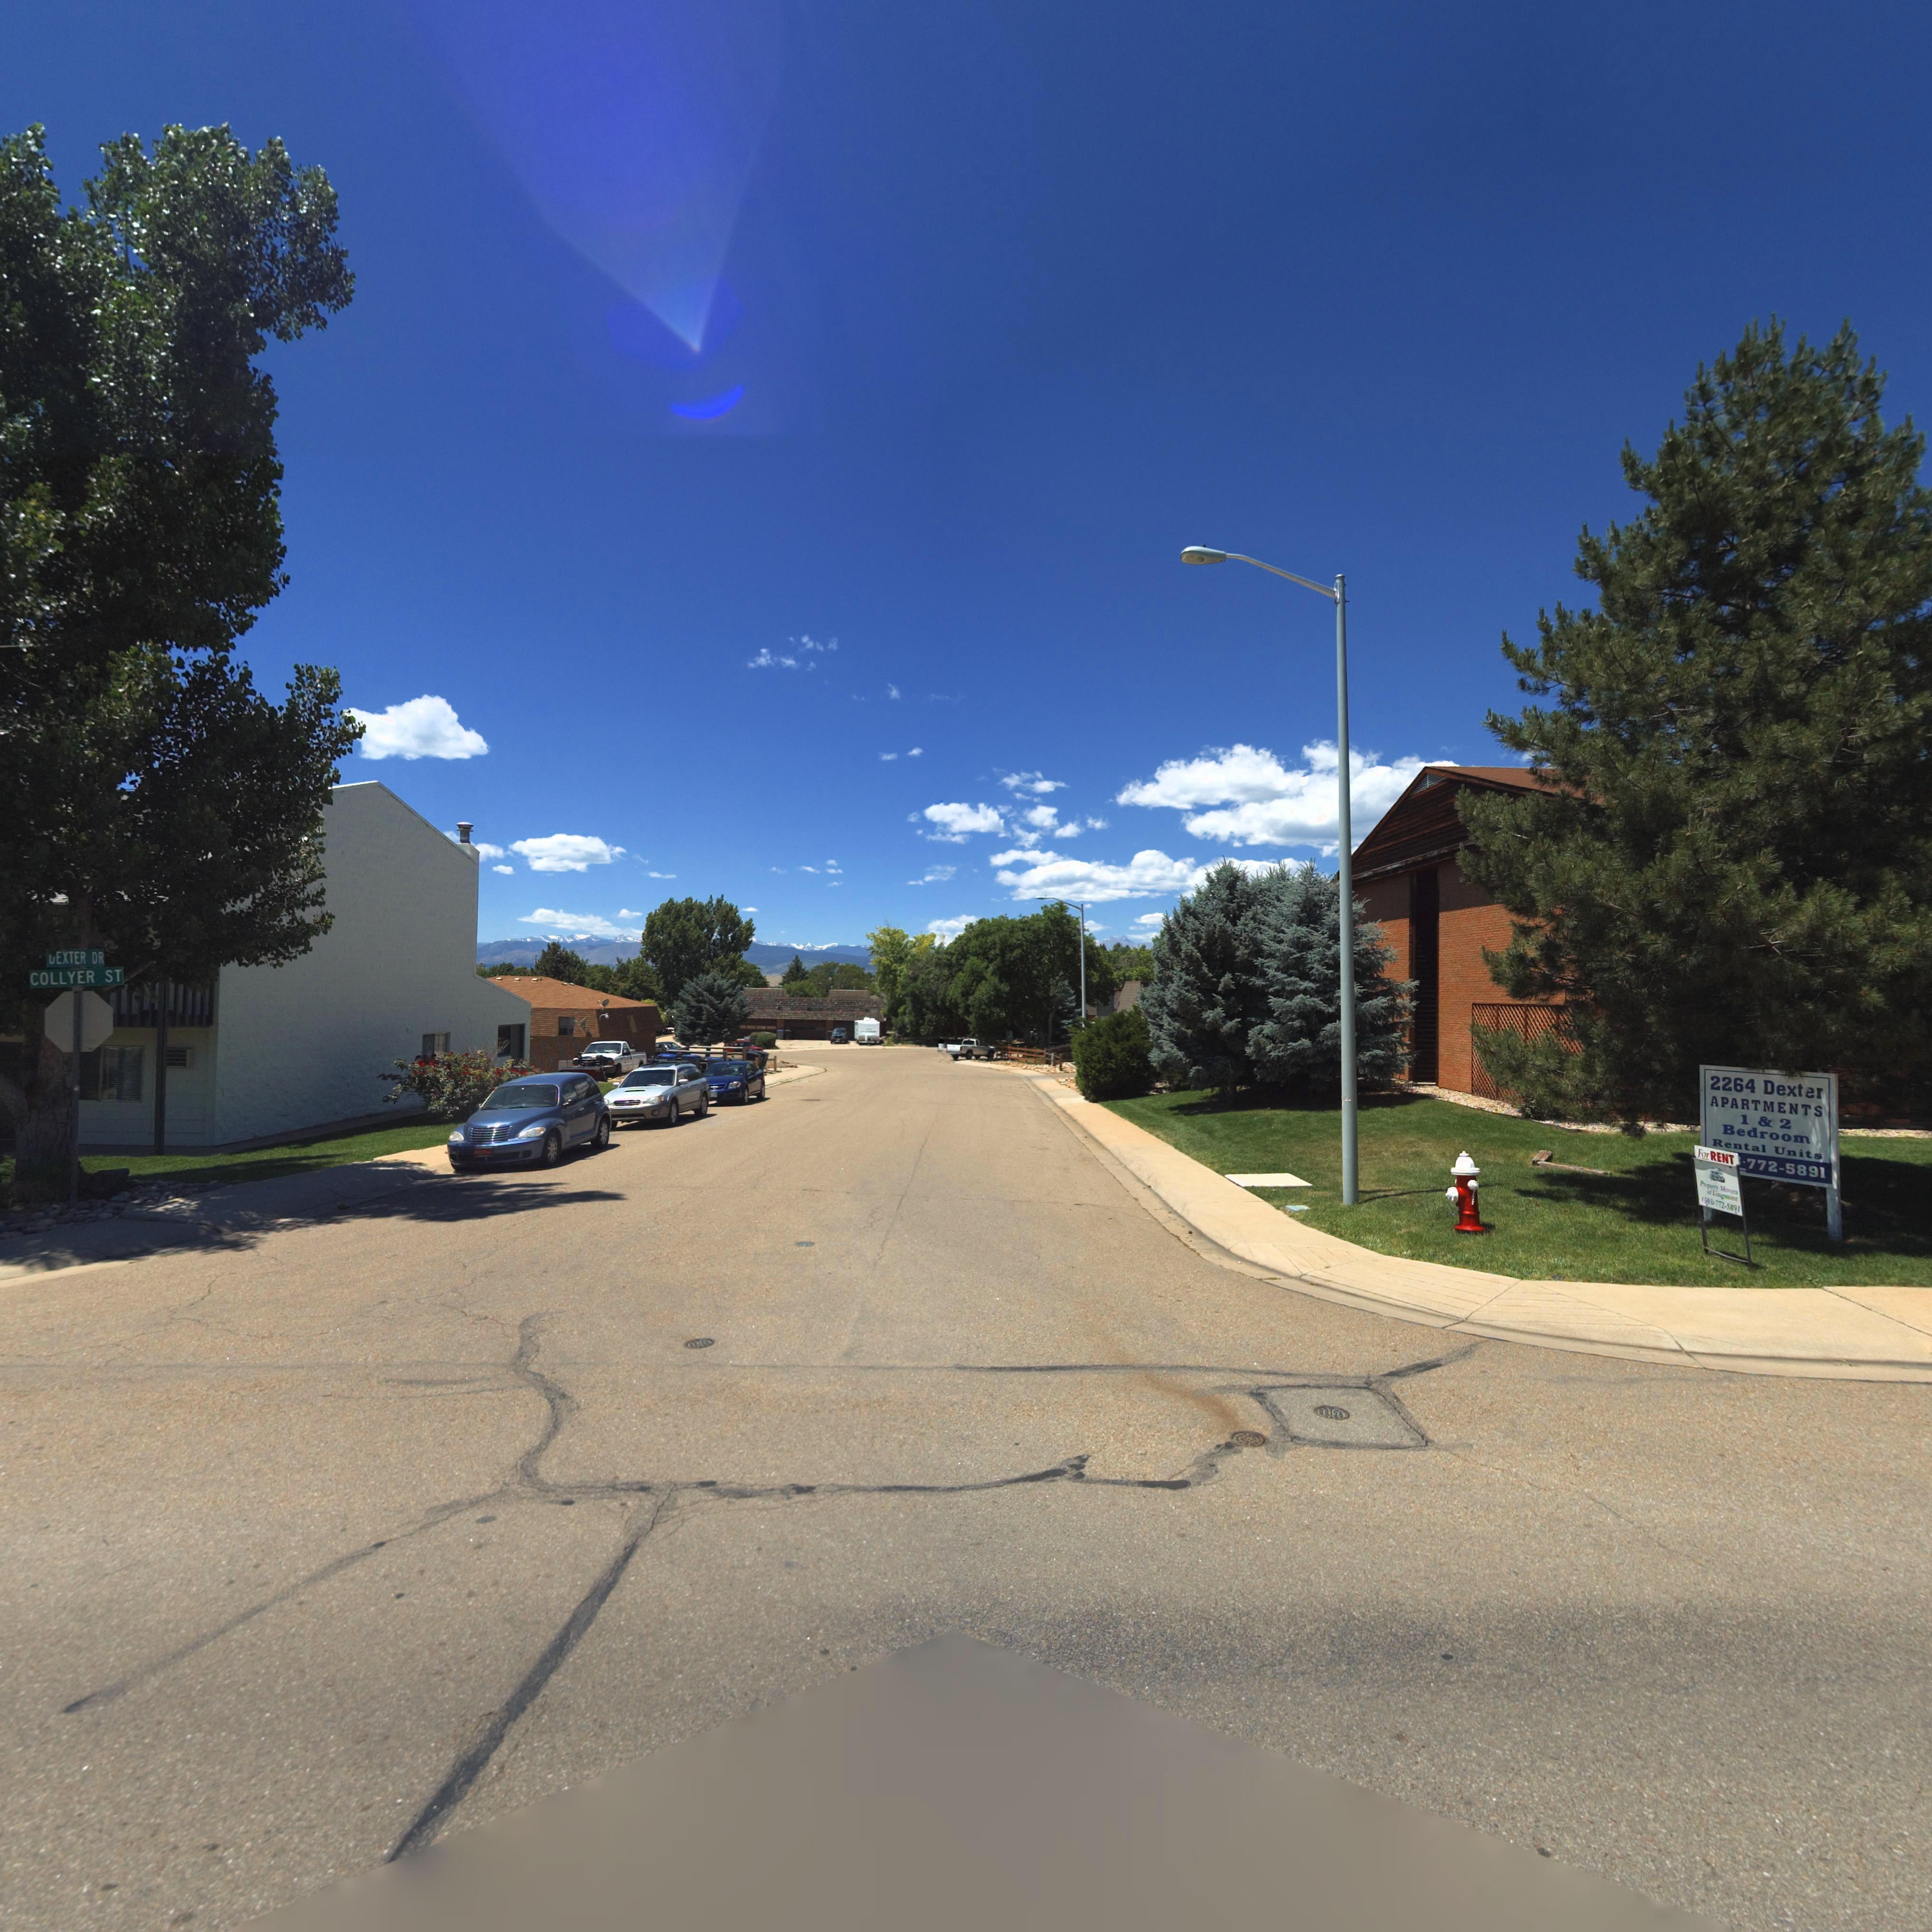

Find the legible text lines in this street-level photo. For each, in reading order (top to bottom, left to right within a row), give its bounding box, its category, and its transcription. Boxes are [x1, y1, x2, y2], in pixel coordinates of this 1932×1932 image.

[48, 951, 104, 965] StreetName: *EXTER DR
[29, 969, 121, 986] StreetName: COLLYER ST
[1710, 1075, 1756, 1094] StreetNumber: 2264
[1763, 1079, 1824, 1100] StreetName: Dexter